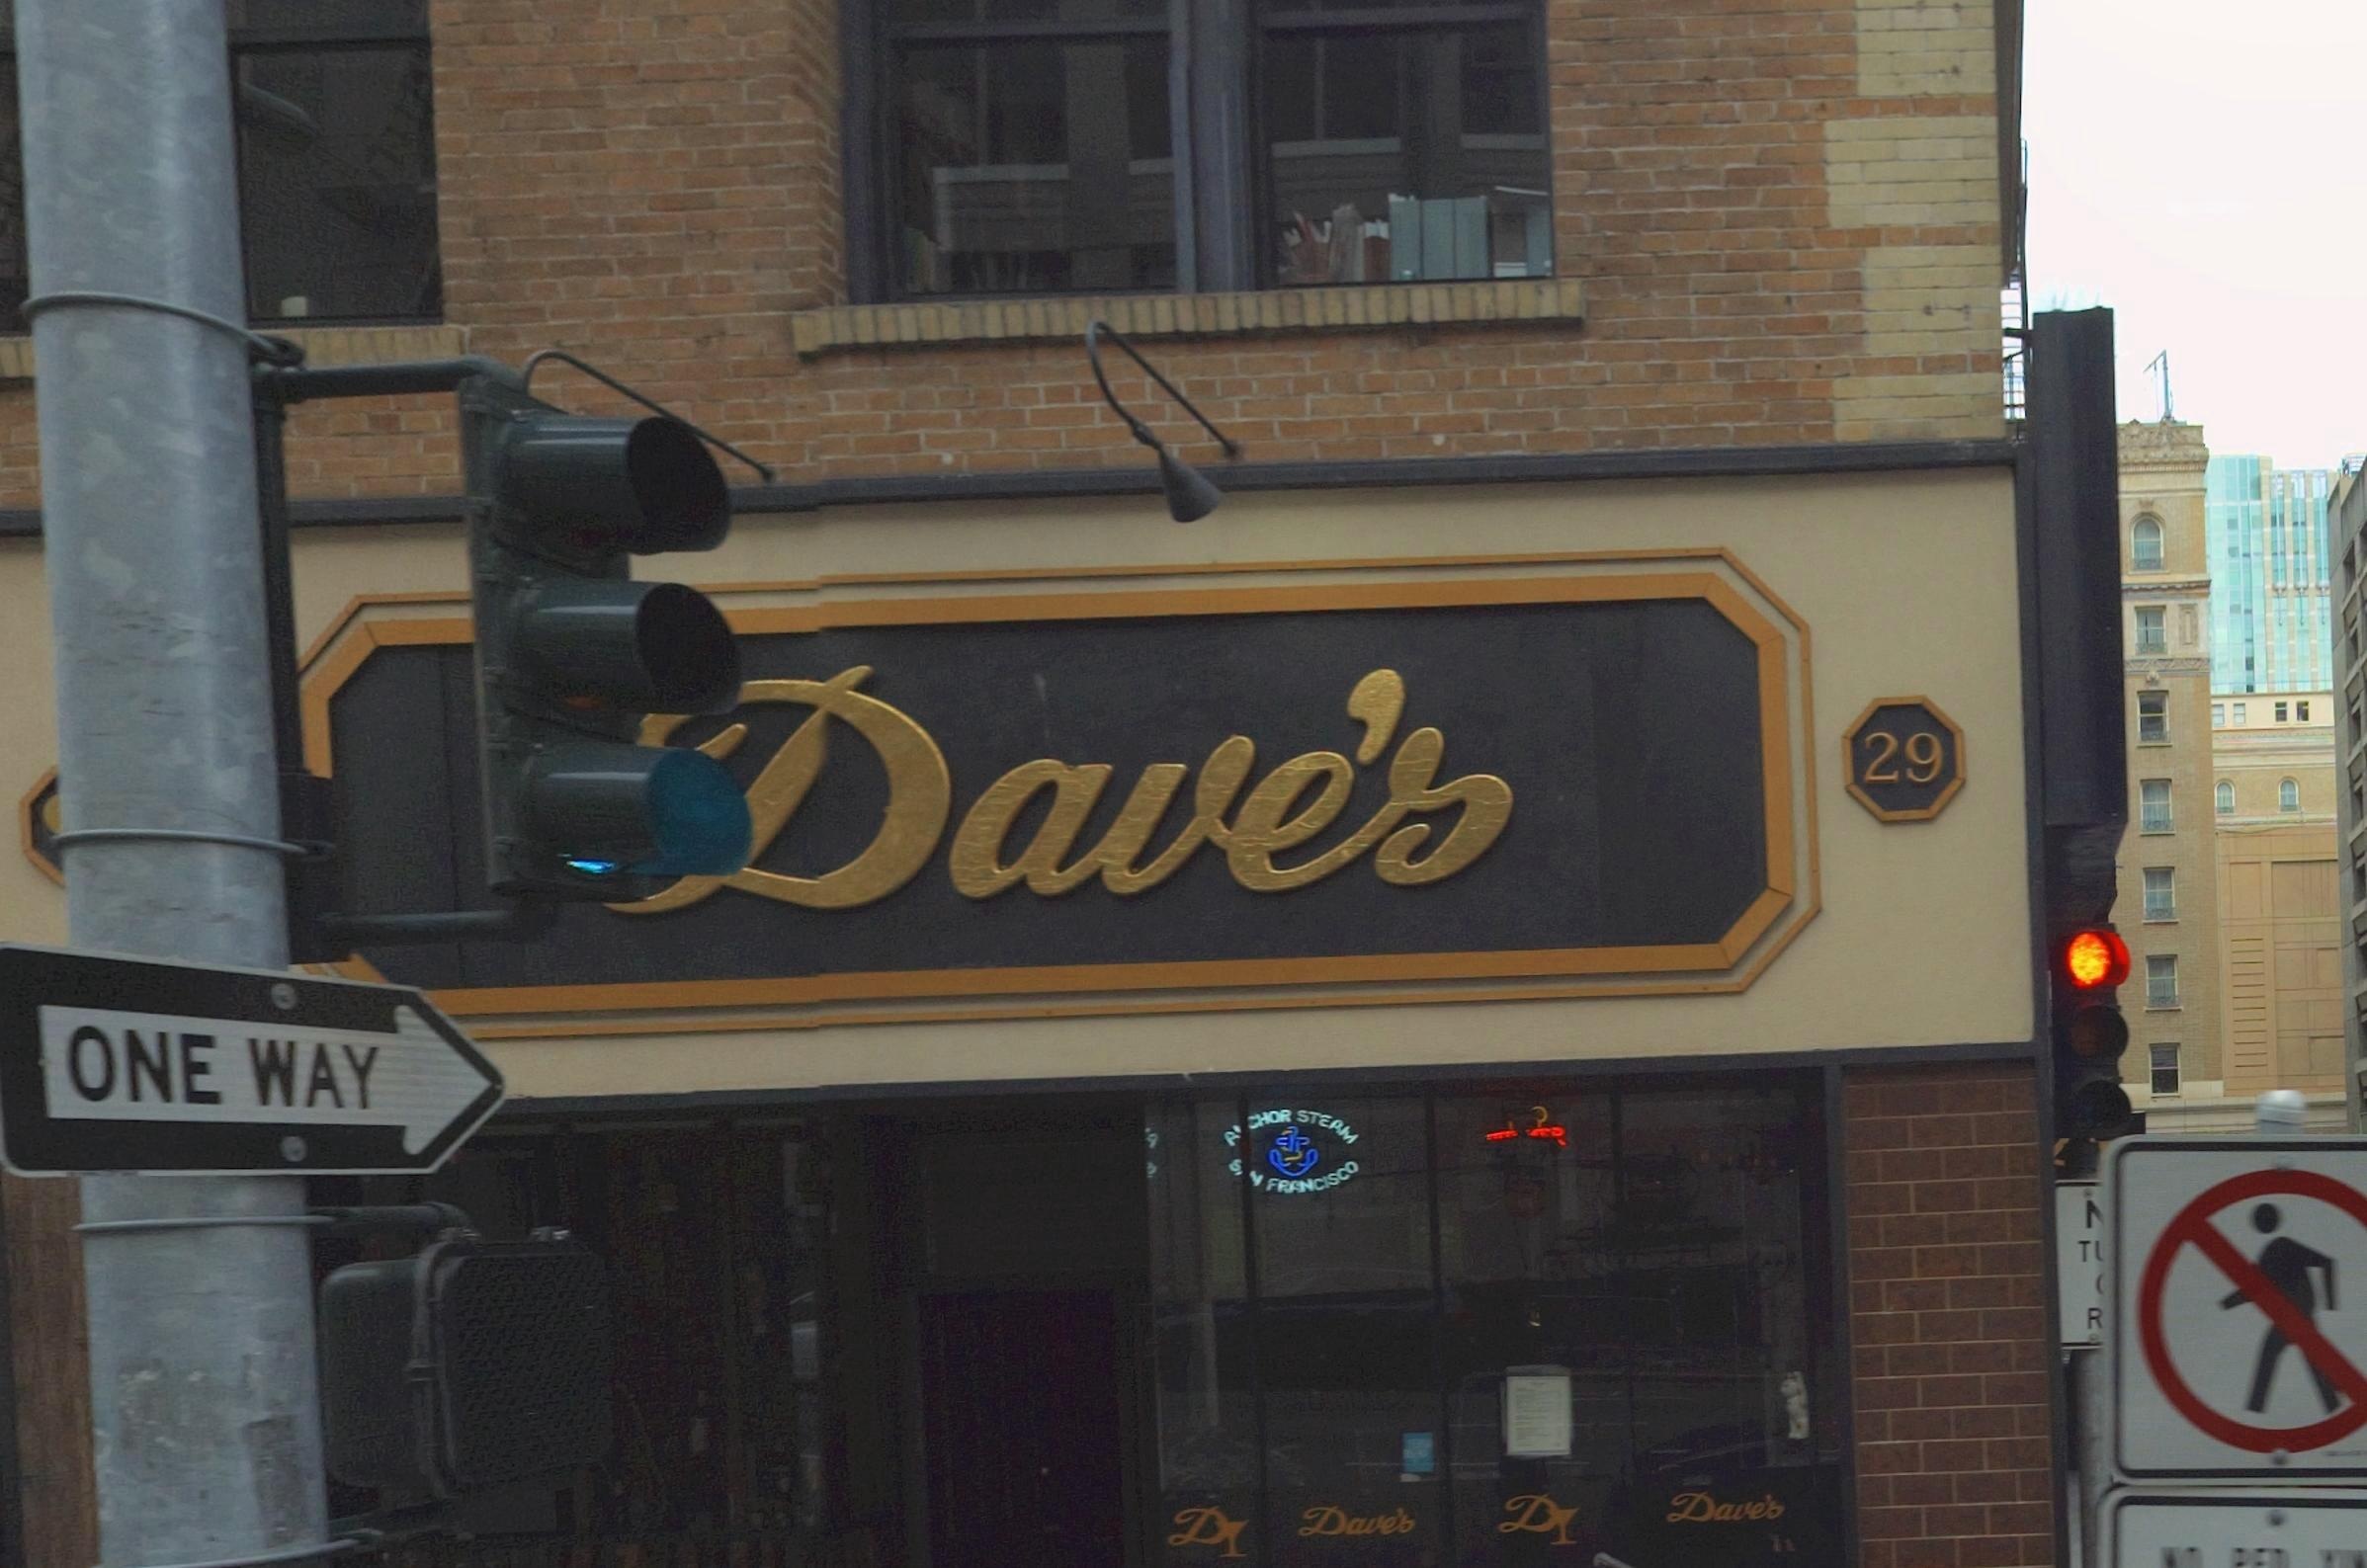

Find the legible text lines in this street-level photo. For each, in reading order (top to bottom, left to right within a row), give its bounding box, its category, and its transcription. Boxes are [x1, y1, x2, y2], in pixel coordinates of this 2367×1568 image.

[1857, 726, 1947, 787] StreetNumber: 29
[692, 647, 1527, 922] BusinessName: Dave's
[58, 1019, 384, 1114] None: ONE WAY
[1249, 1104, 1366, 1150] None: HOR STERM
[1260, 1157, 1364, 1197] None: FRANCISCO
[2072, 1236, 2097, 1266] None: T
[2084, 1304, 2106, 1333] None: R
[1162, 1502, 1237, 1550] None: D
[1296, 1502, 1420, 1539] BusinessName: Dave's
[1492, 1488, 1565, 1536] None: D
[1661, 1489, 1792, 1526] BusinessName: Dave's